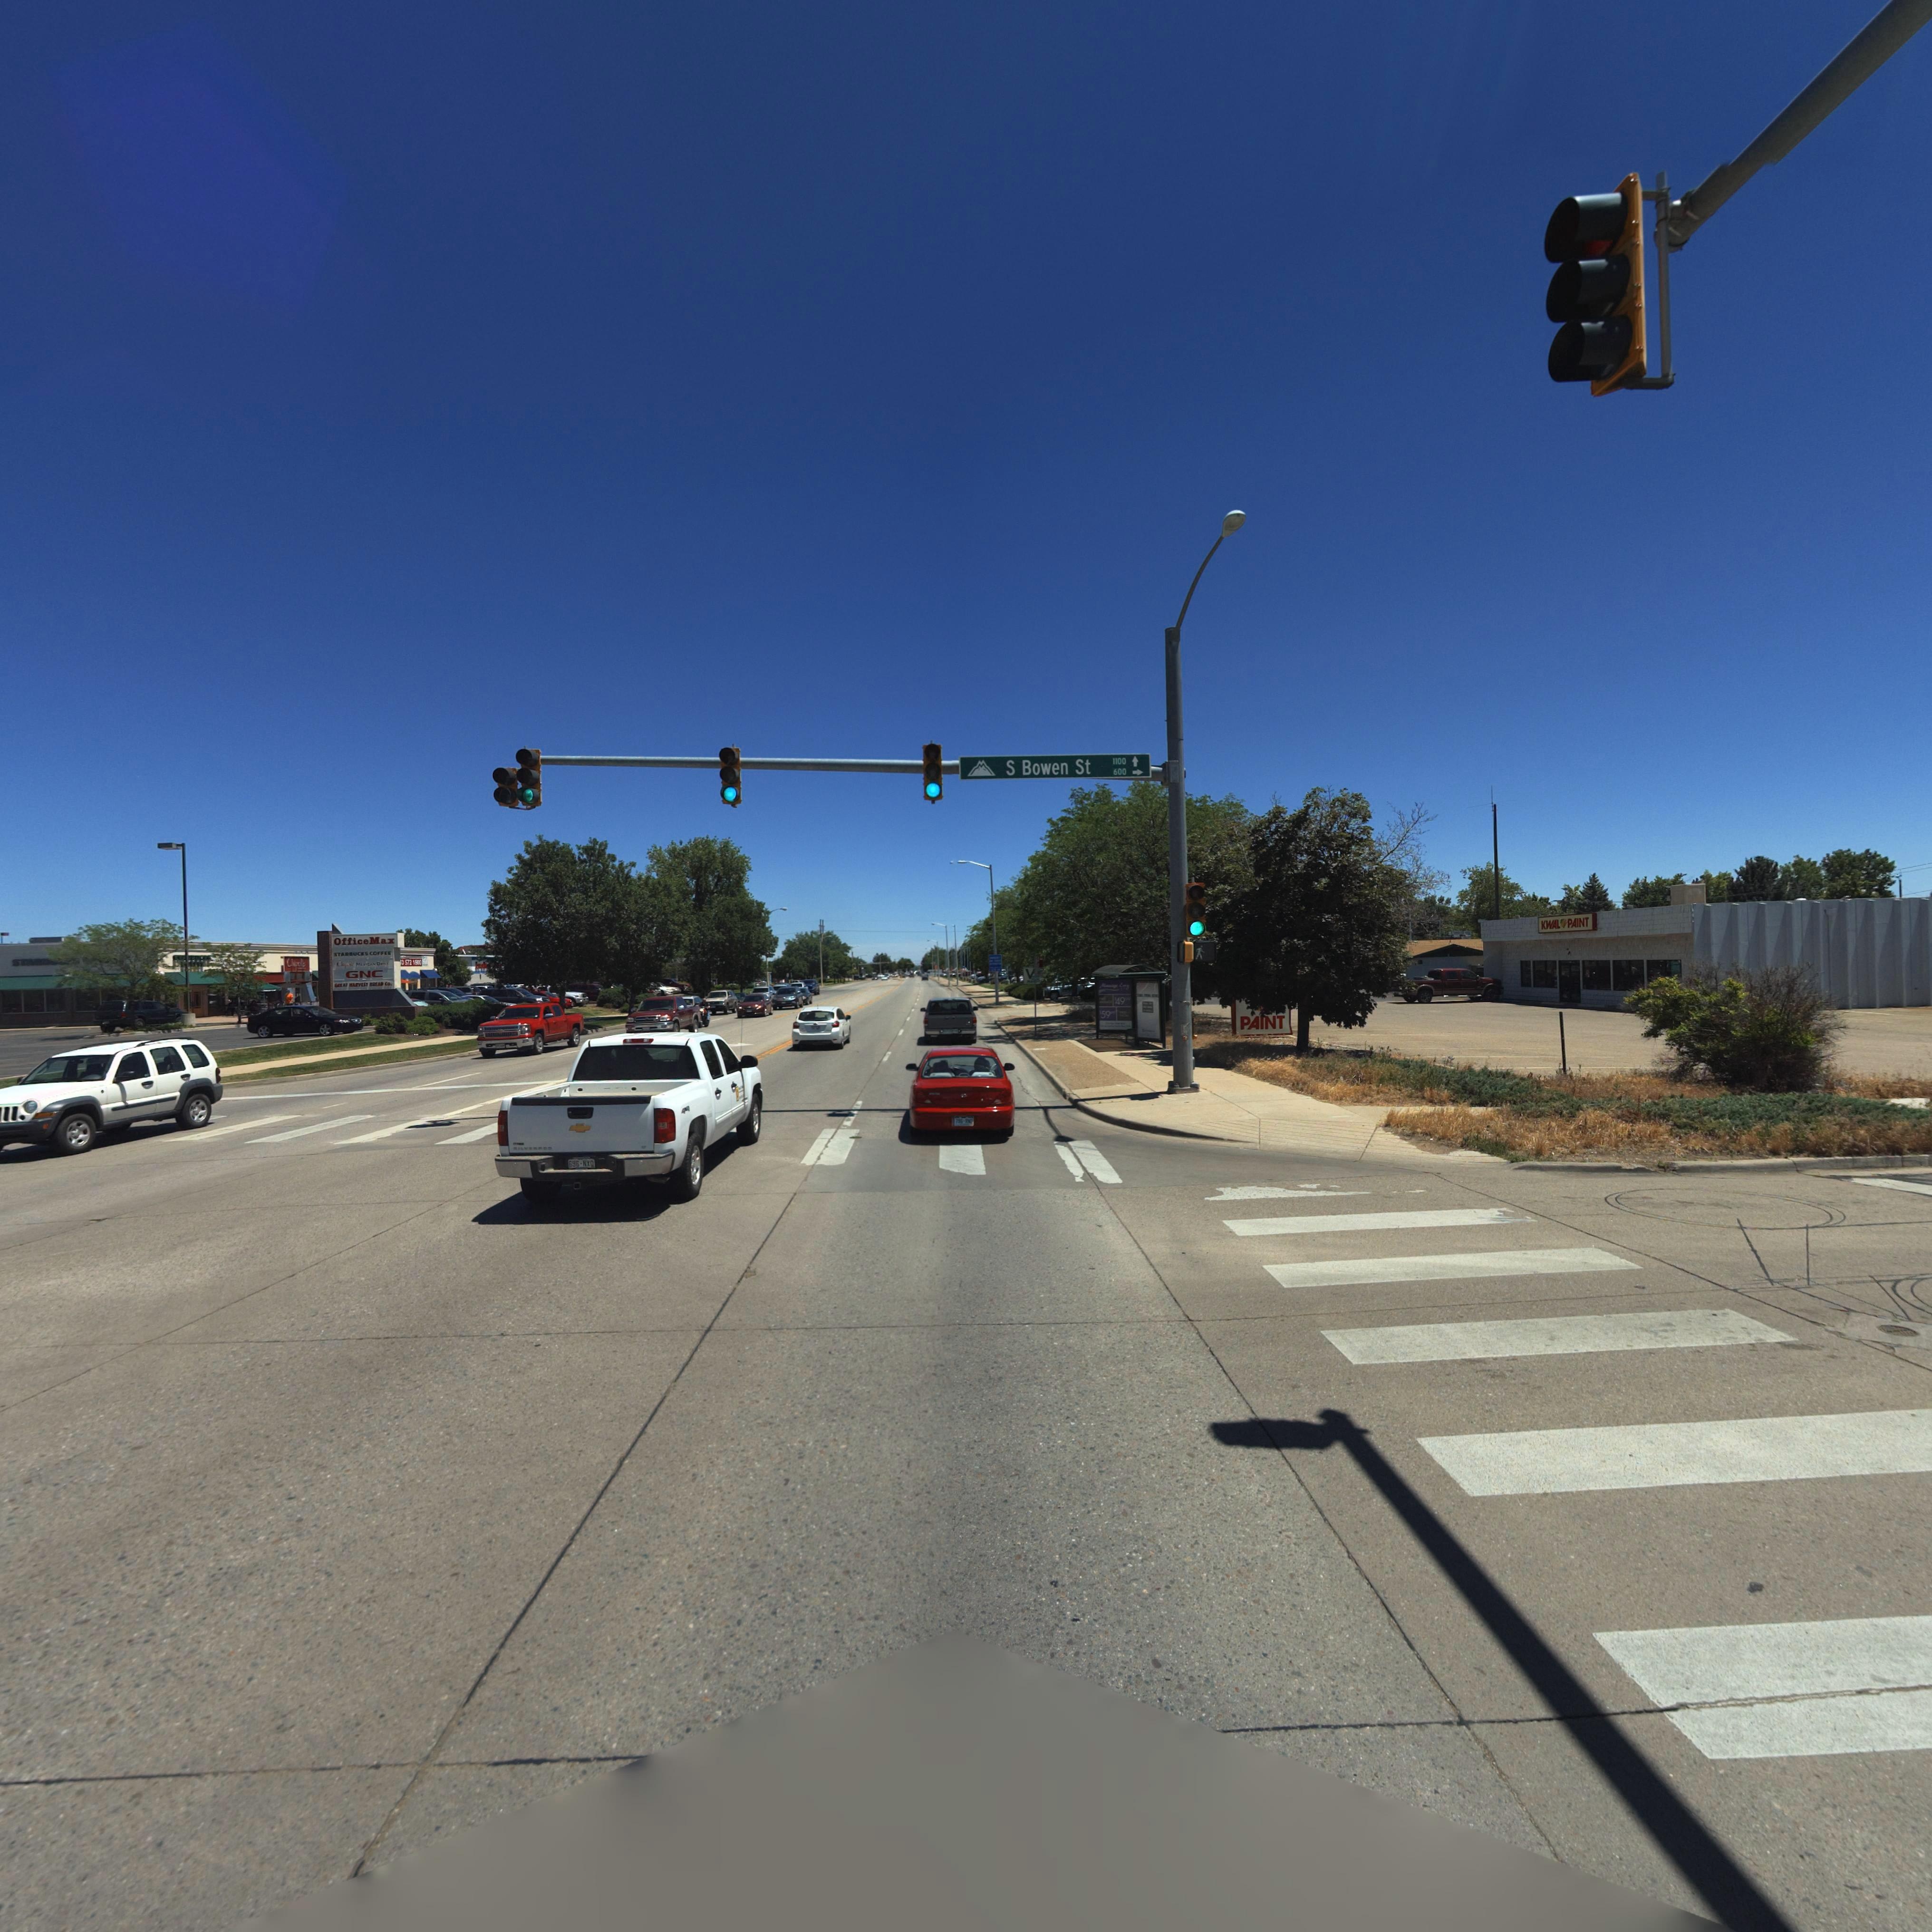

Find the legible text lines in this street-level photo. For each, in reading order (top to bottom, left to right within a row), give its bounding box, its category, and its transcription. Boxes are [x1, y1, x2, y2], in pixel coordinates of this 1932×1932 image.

[1112, 757, 1127, 764] StreetNumberRange: 1100
[1005, 758, 1091, 776] StreetName: S Bowen St
[1112, 768, 1144, 776] StreetNumberRange: 600->
[1541, 916, 1589, 930] BusinessName: KWAL PAINT
[333, 936, 395, 946] BusinessName: OfficeMax
[333, 950, 392, 956] BusinessName: STARBUCKS COFFEE
[11, 958, 42, 966] BusinessName: ST**
[286, 957, 307, 969] BusinessName: Ch*po**e
[336, 960, 389, 969] BusinessName: Chip**** M****** G****
[345, 969, 383, 979] BusinessName: GNC
[1024, 968, 1036, 979] BusinessName: V
[334, 981, 392, 988] BusinessName: G*EA* ***VEST ***AD Co.
[1239, 1015, 1286, 1030] BusinessName: PAINT